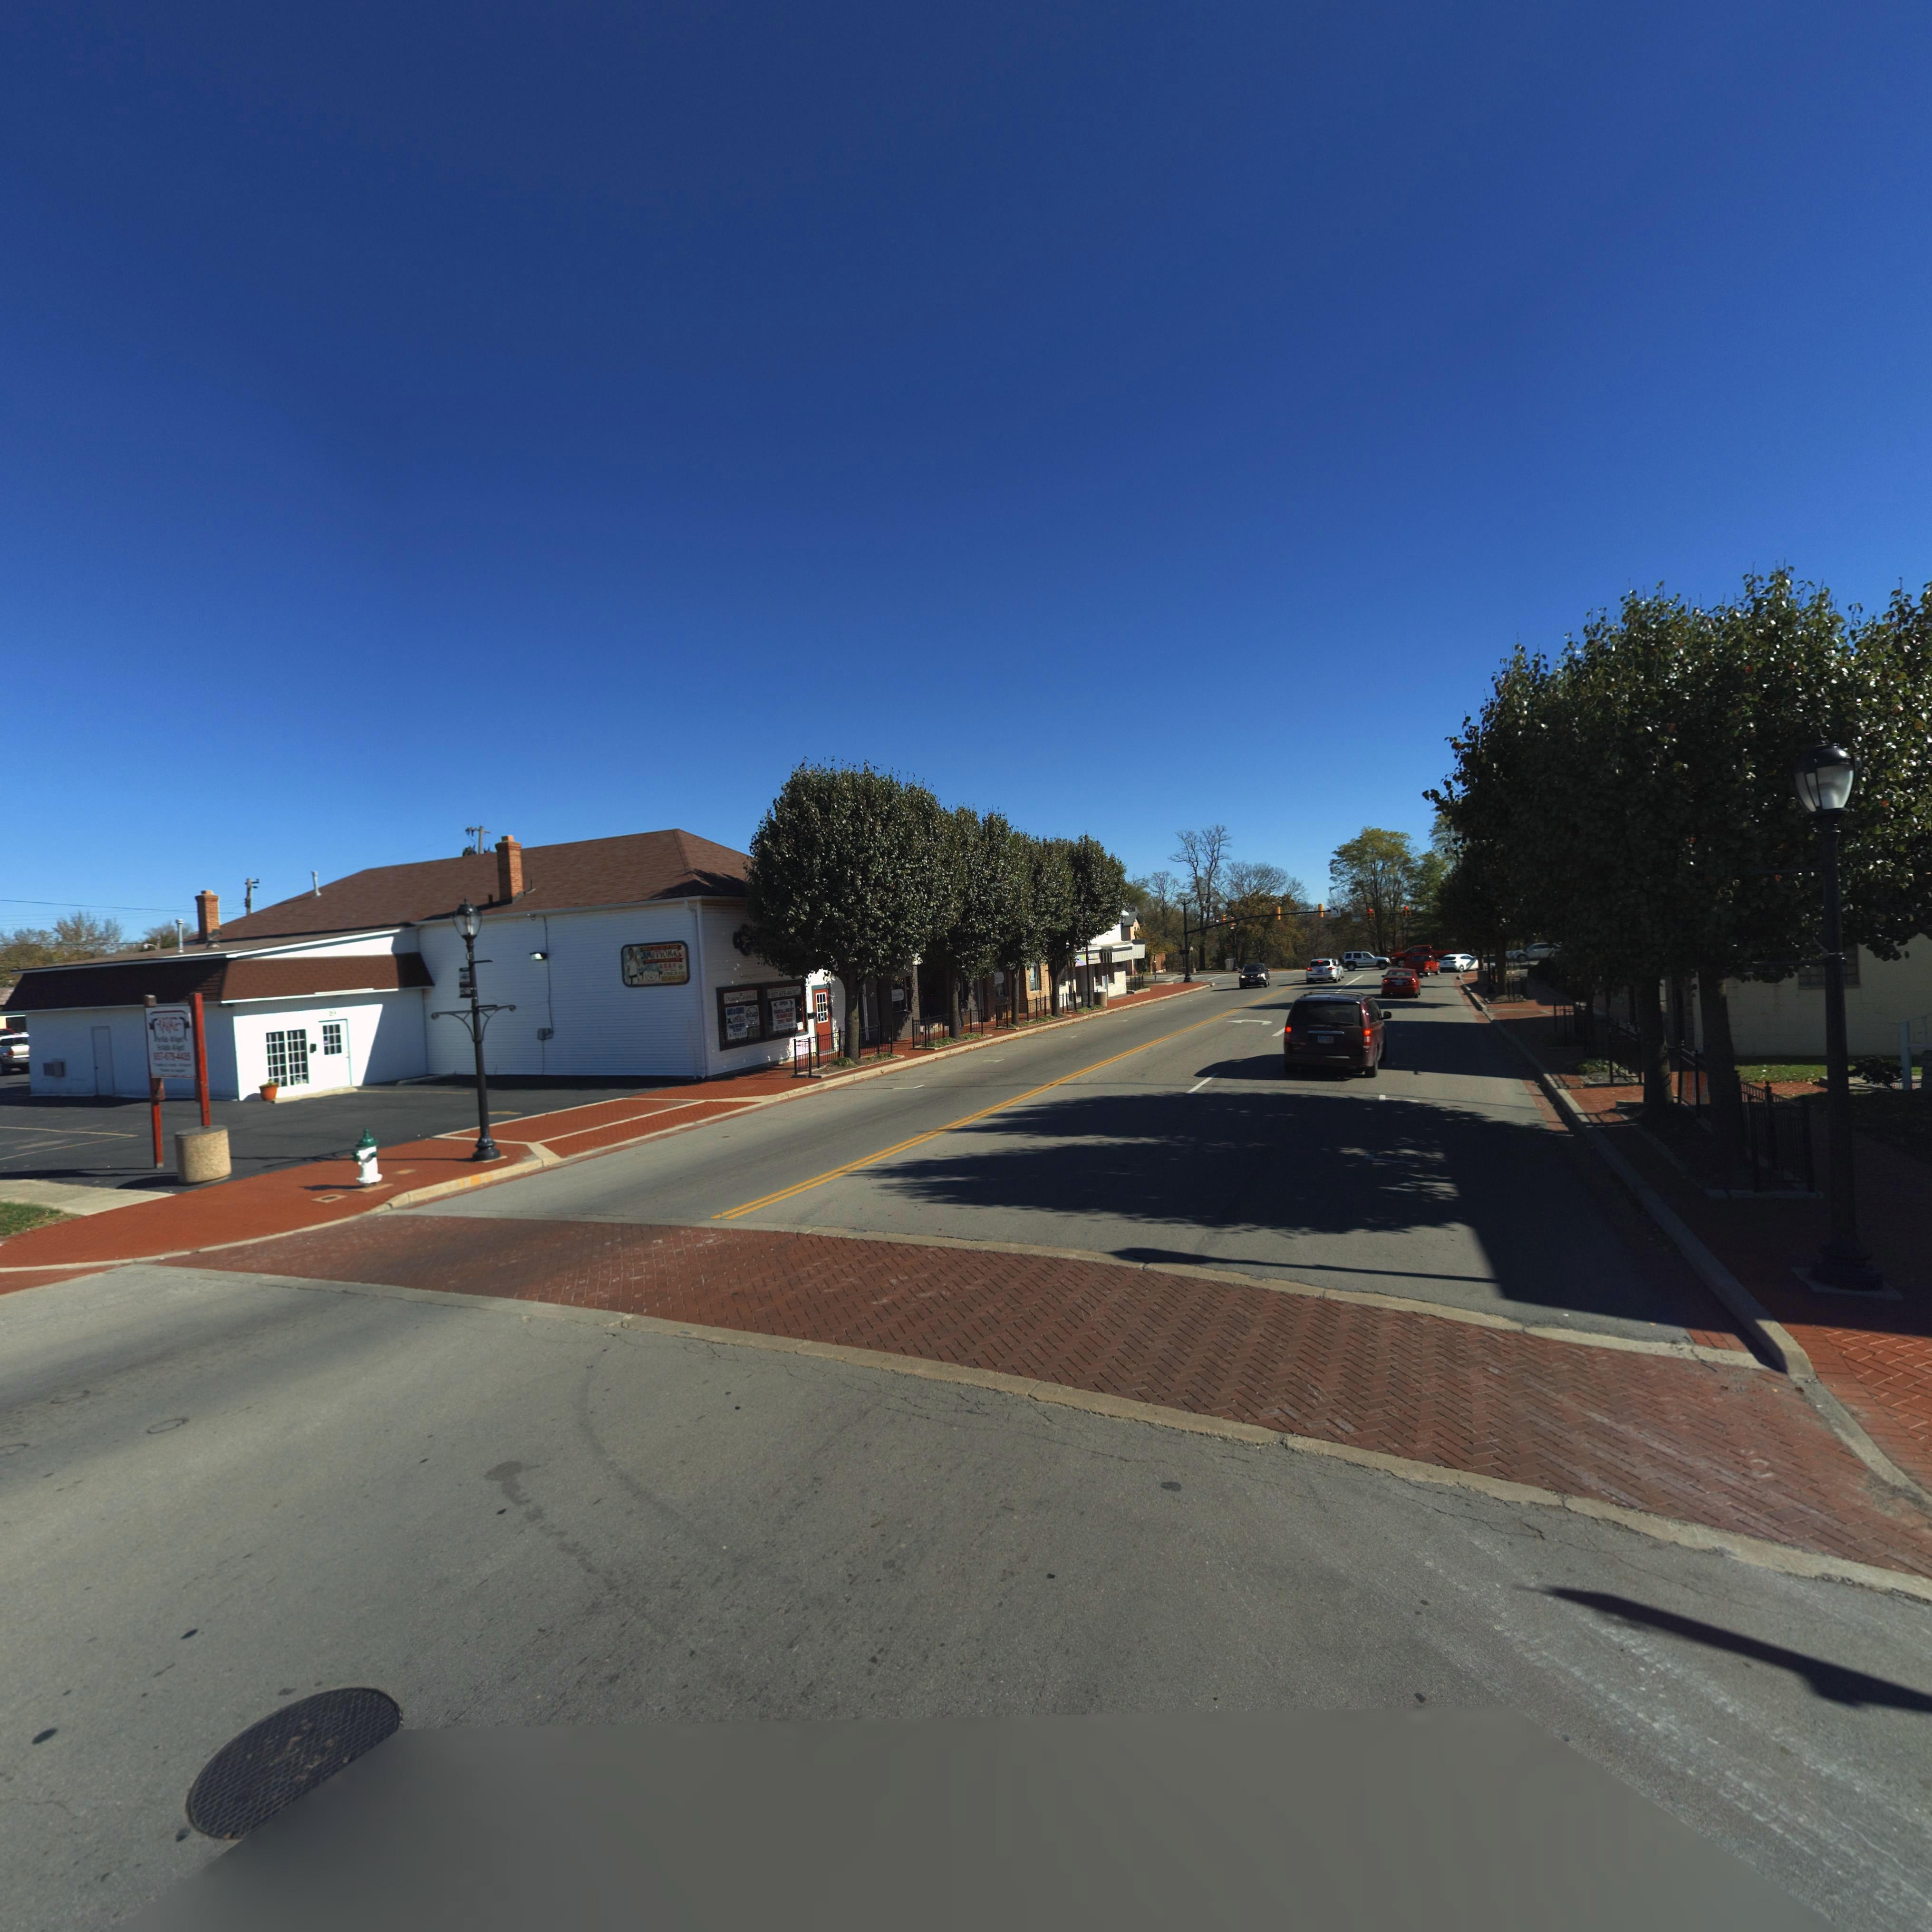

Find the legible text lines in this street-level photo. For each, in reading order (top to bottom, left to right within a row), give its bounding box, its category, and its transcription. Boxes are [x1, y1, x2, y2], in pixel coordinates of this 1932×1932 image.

[640, 948, 682, 960] None: JIM THOMAS
[328, 1010, 338, 1017] StreetNumber: 19